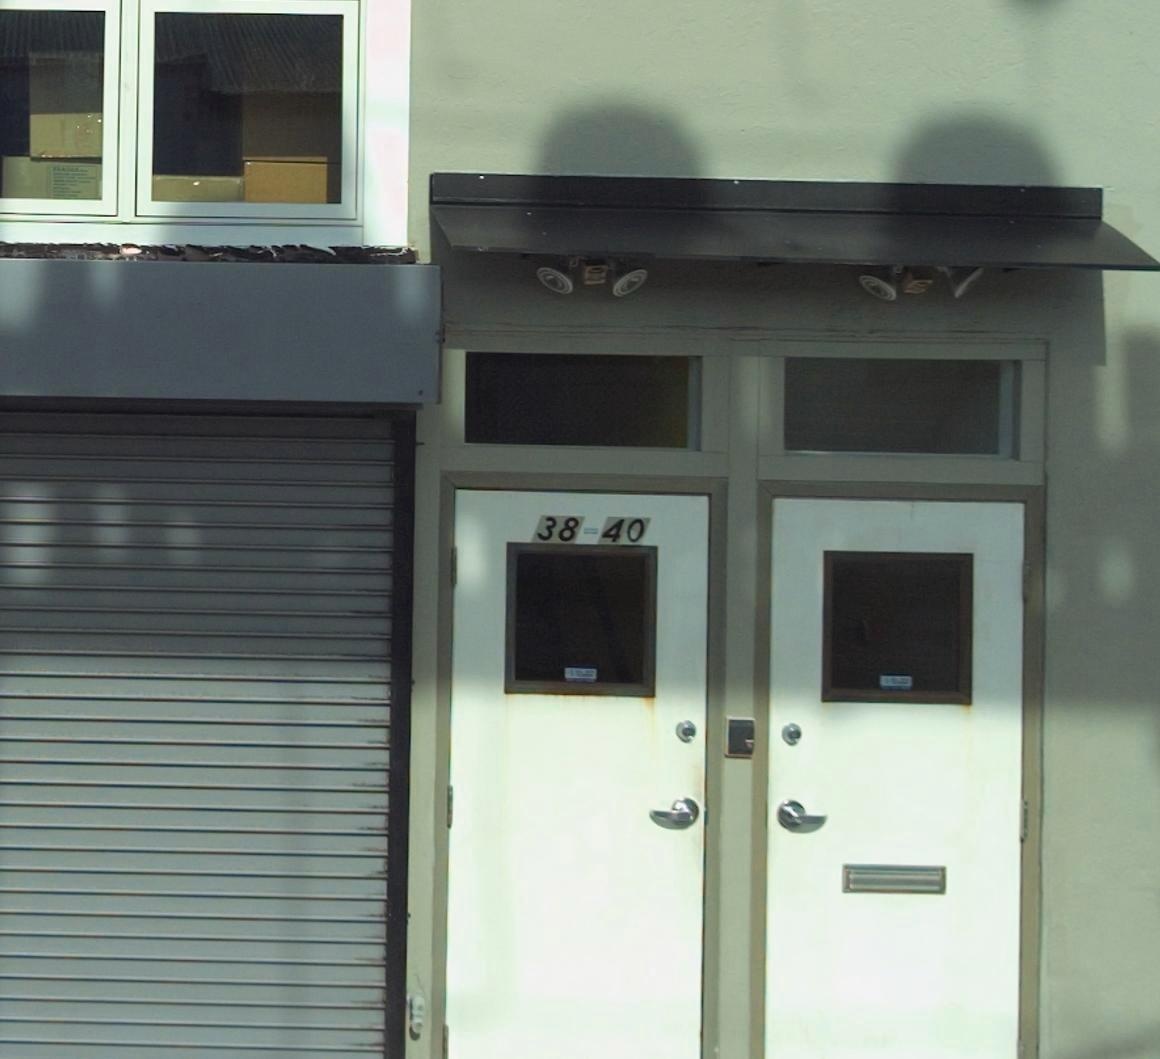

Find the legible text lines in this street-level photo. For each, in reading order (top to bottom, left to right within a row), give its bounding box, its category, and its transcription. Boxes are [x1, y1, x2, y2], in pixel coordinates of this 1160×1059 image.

[527, 511, 652, 547] StreetNumber: 38-40